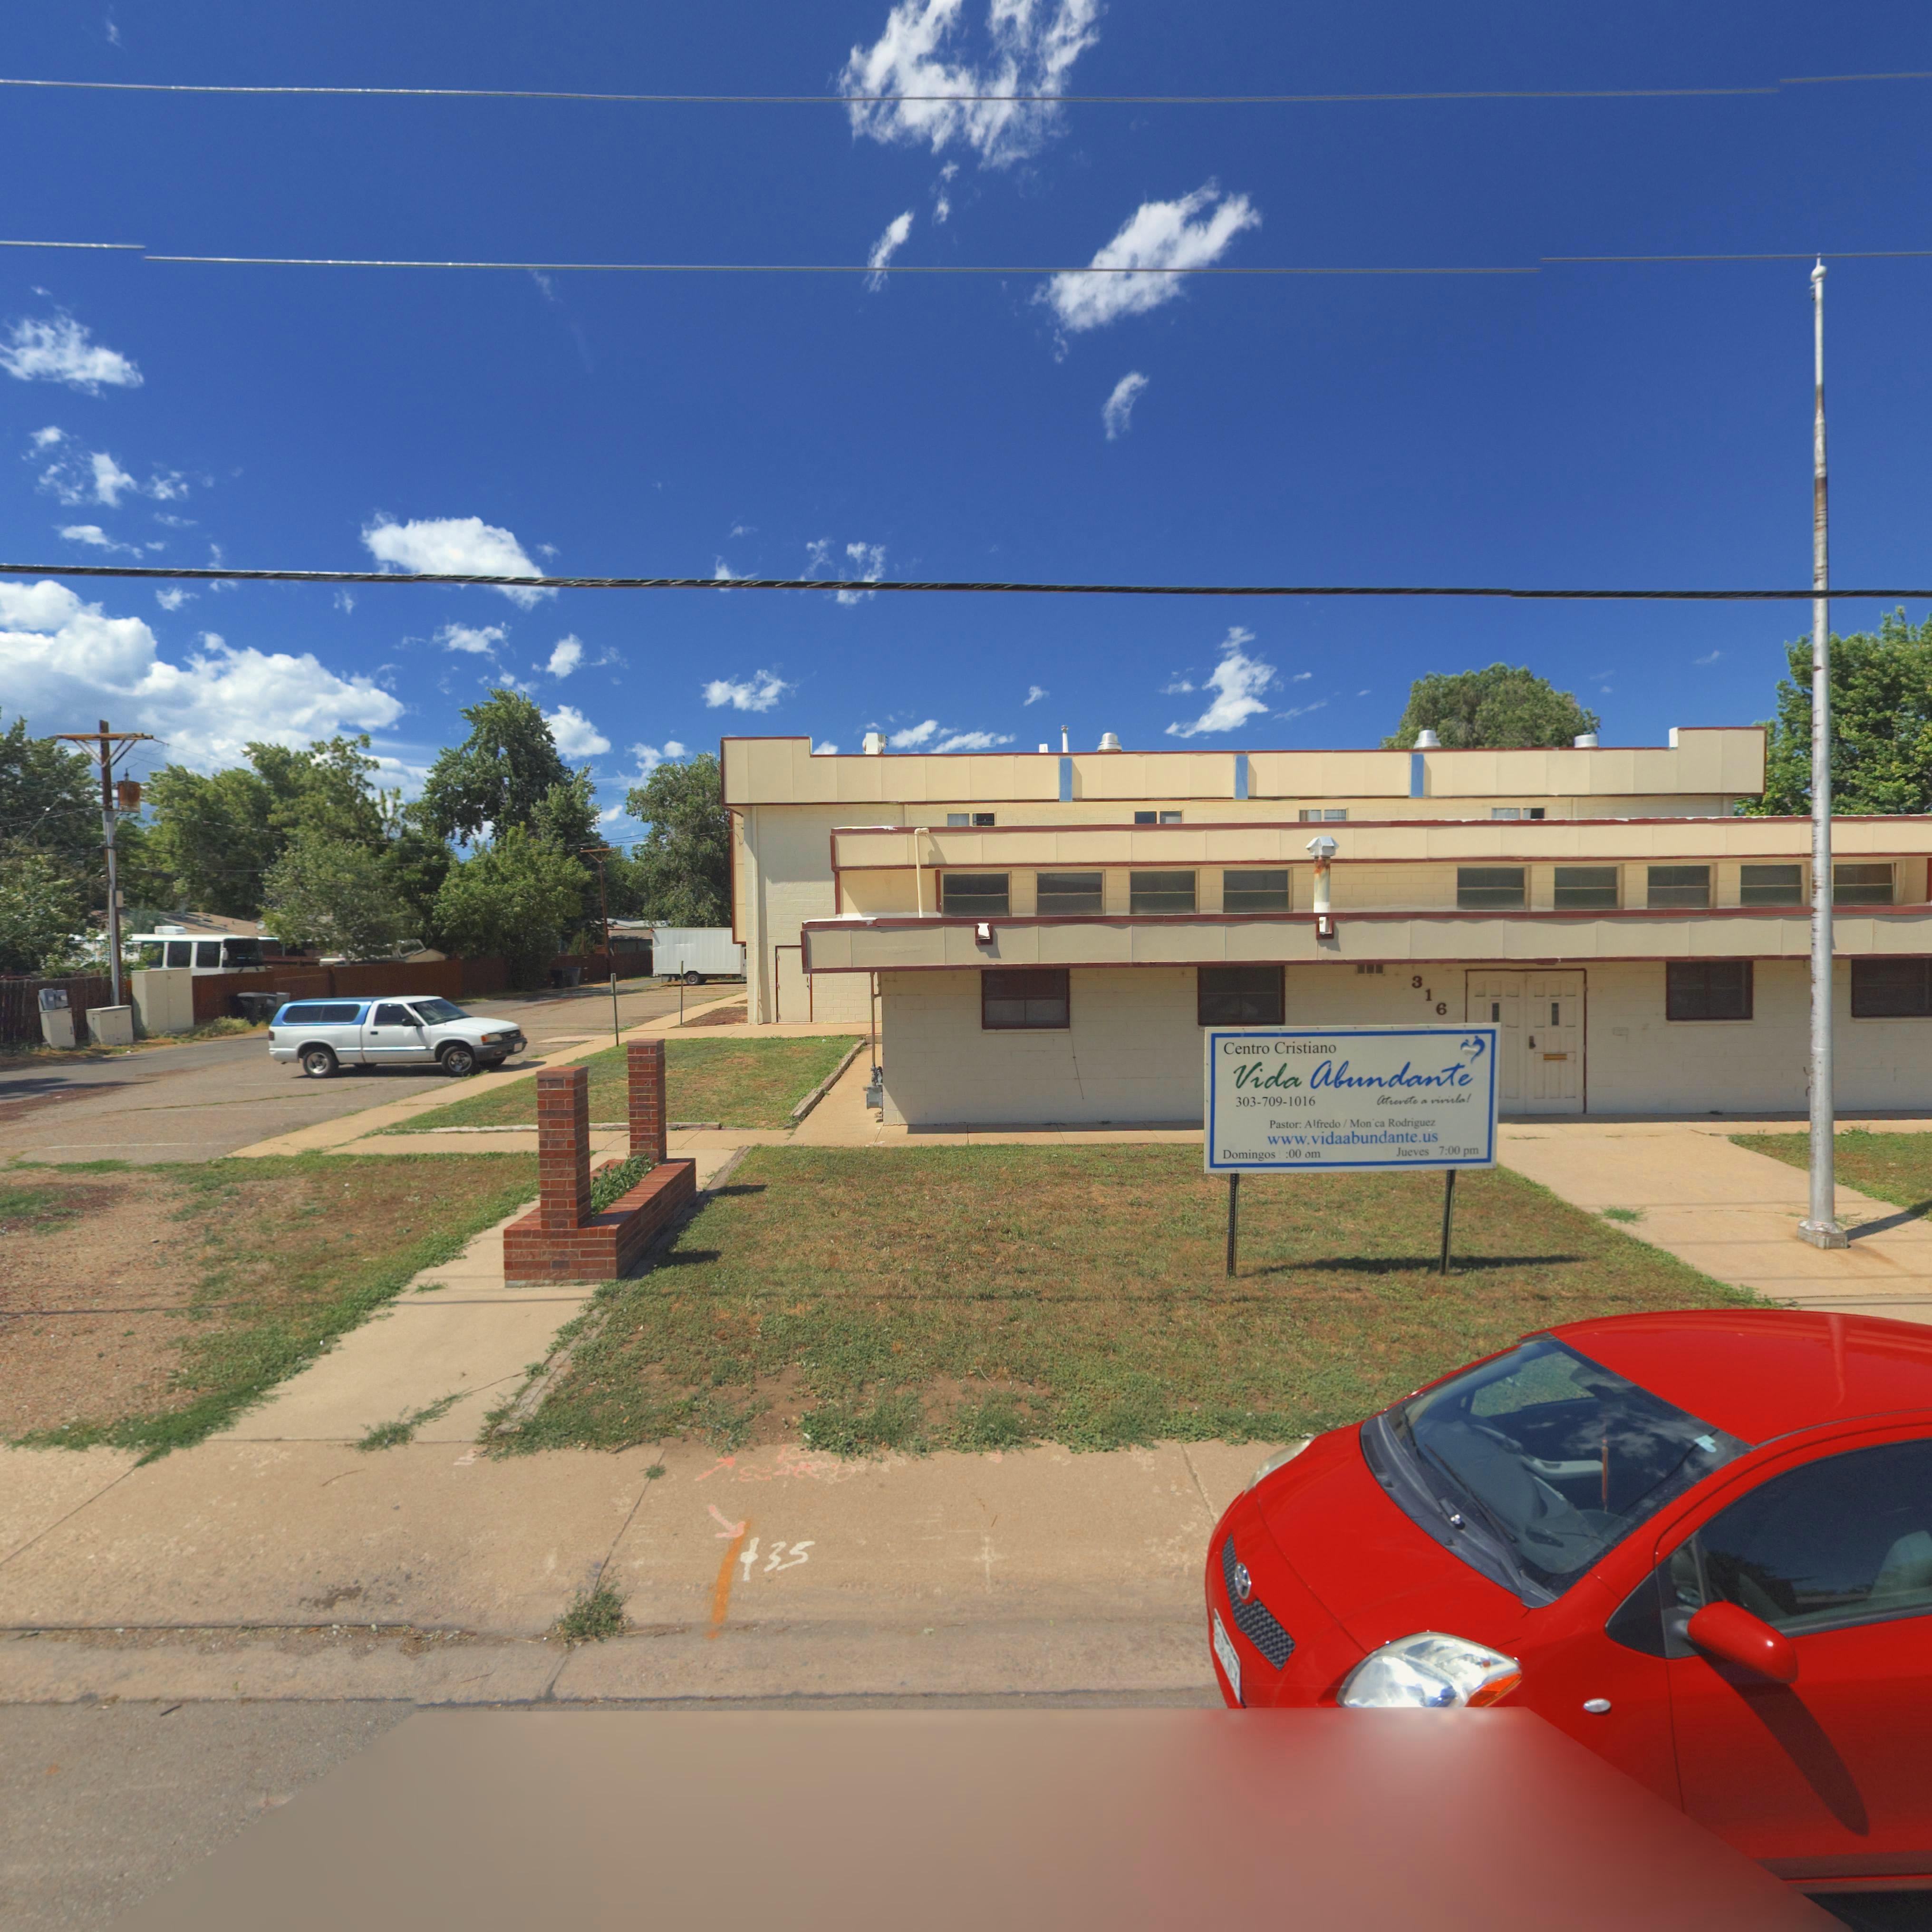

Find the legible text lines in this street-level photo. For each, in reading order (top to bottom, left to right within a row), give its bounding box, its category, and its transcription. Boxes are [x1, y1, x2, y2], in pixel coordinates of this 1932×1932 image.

[1411, 975, 1448, 1016] StreetNumber: 316
[1223, 1040, 1337, 1055] BusinessName: Centro Cristiano
[1232, 1059, 1474, 1090] BusinessName: Vida Abundante